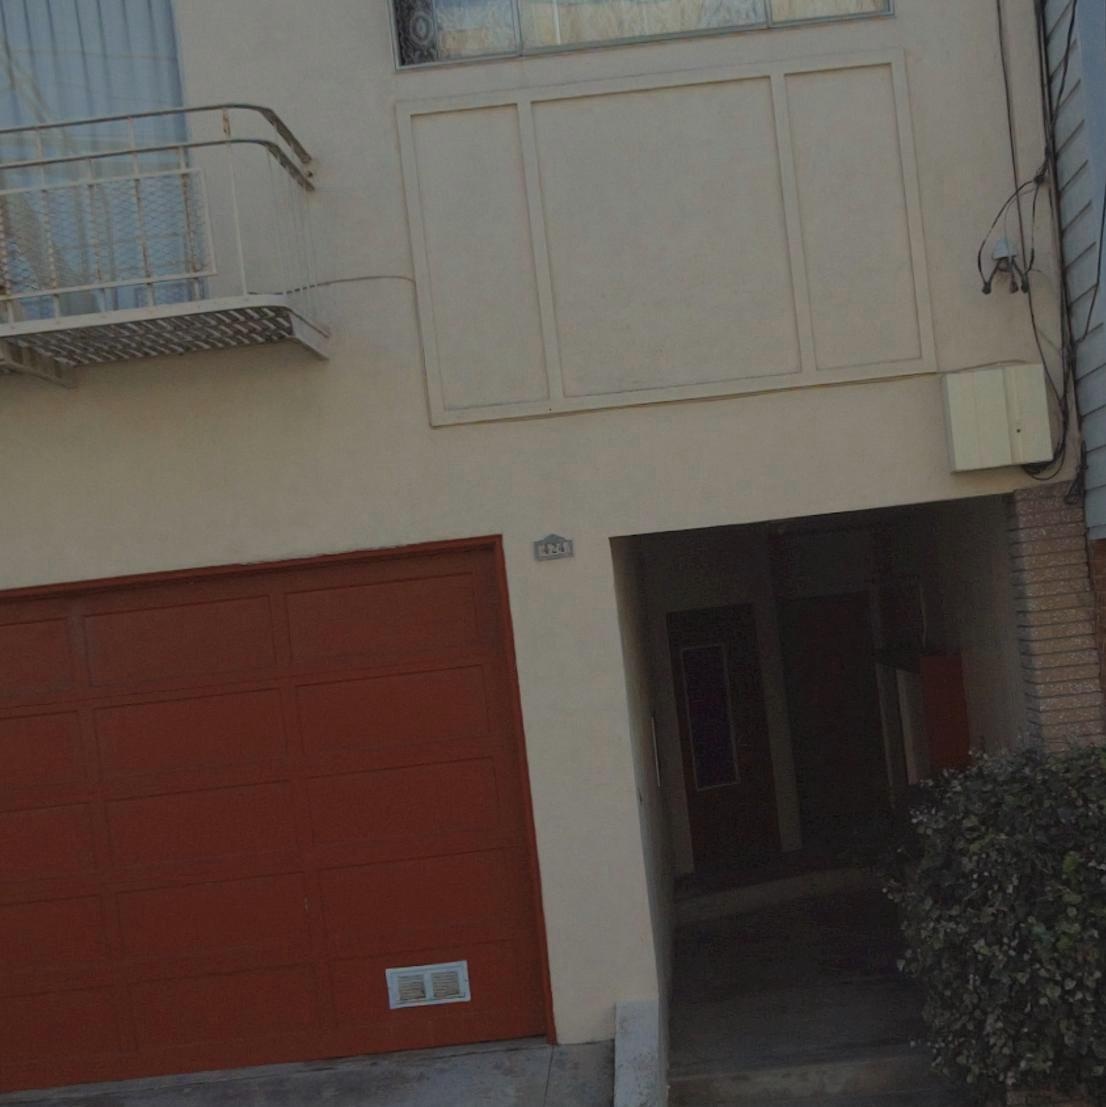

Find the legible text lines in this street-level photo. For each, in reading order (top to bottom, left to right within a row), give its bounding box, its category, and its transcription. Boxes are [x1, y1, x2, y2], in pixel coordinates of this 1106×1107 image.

[538, 538, 568, 560] StreetNumber: 424